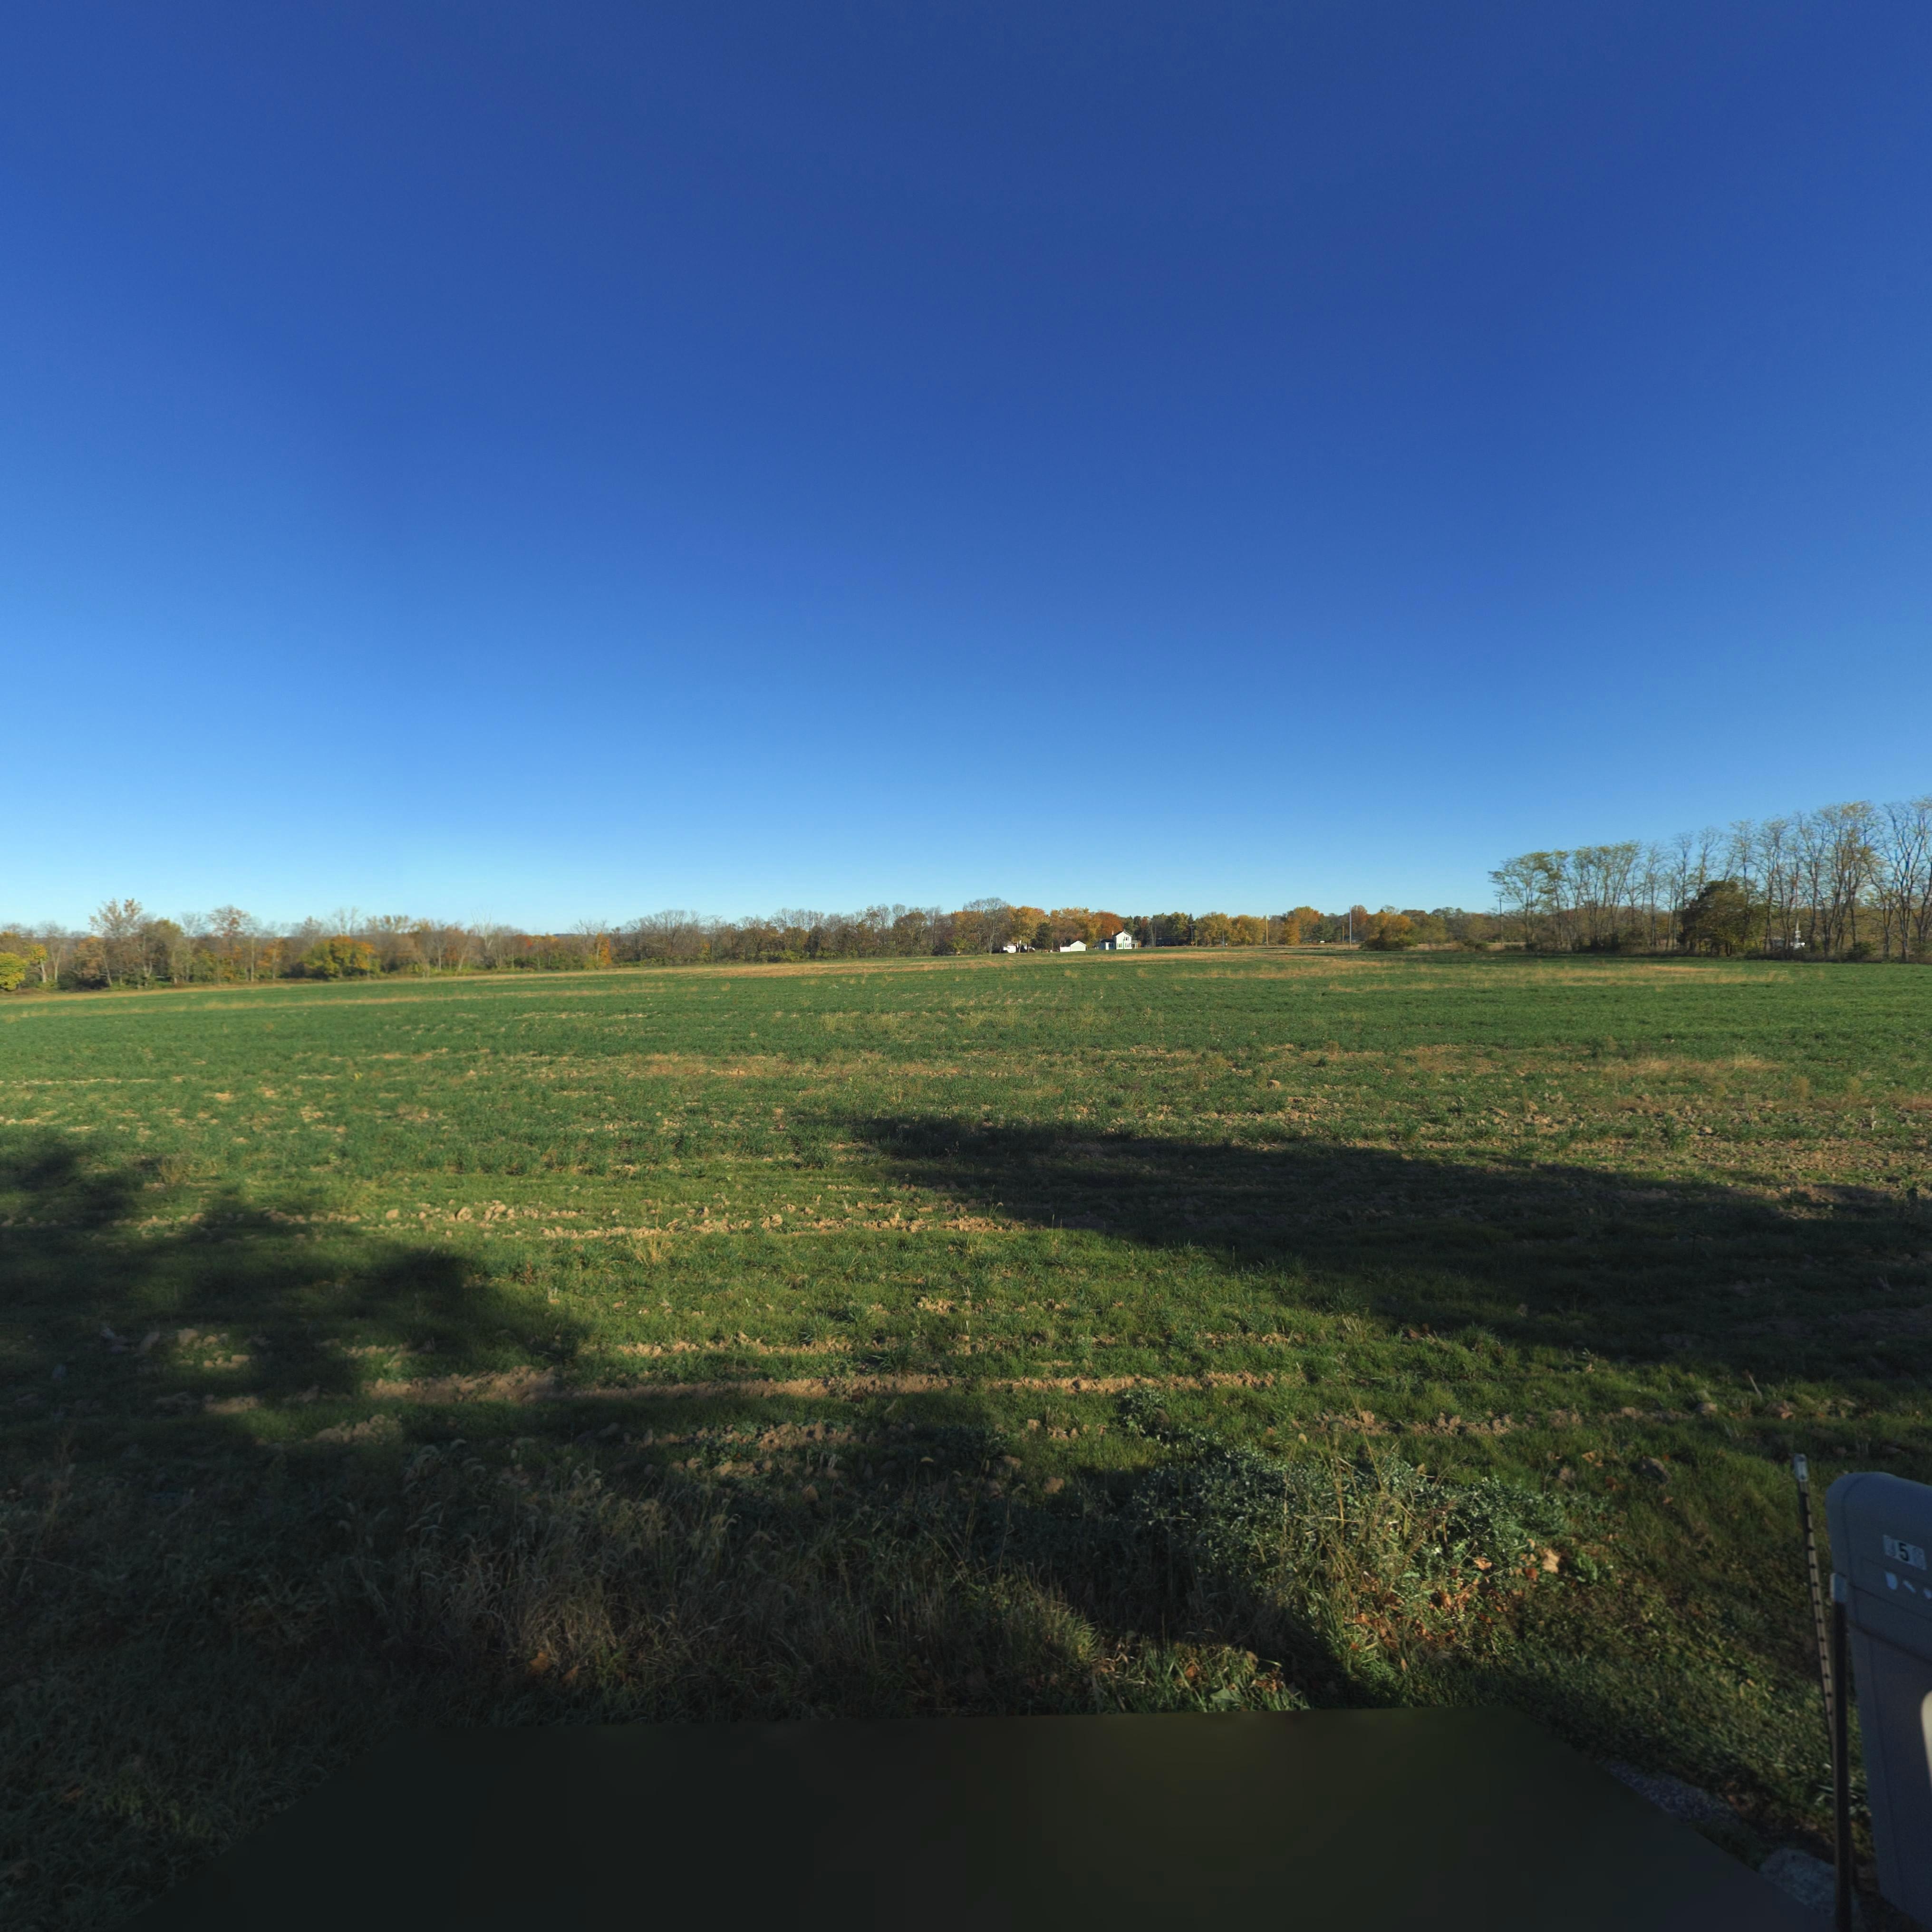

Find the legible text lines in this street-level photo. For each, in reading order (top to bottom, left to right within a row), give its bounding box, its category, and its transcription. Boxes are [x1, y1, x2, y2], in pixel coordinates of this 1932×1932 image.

[1884, 1534, 1925, 1571] StreetNumber: 956